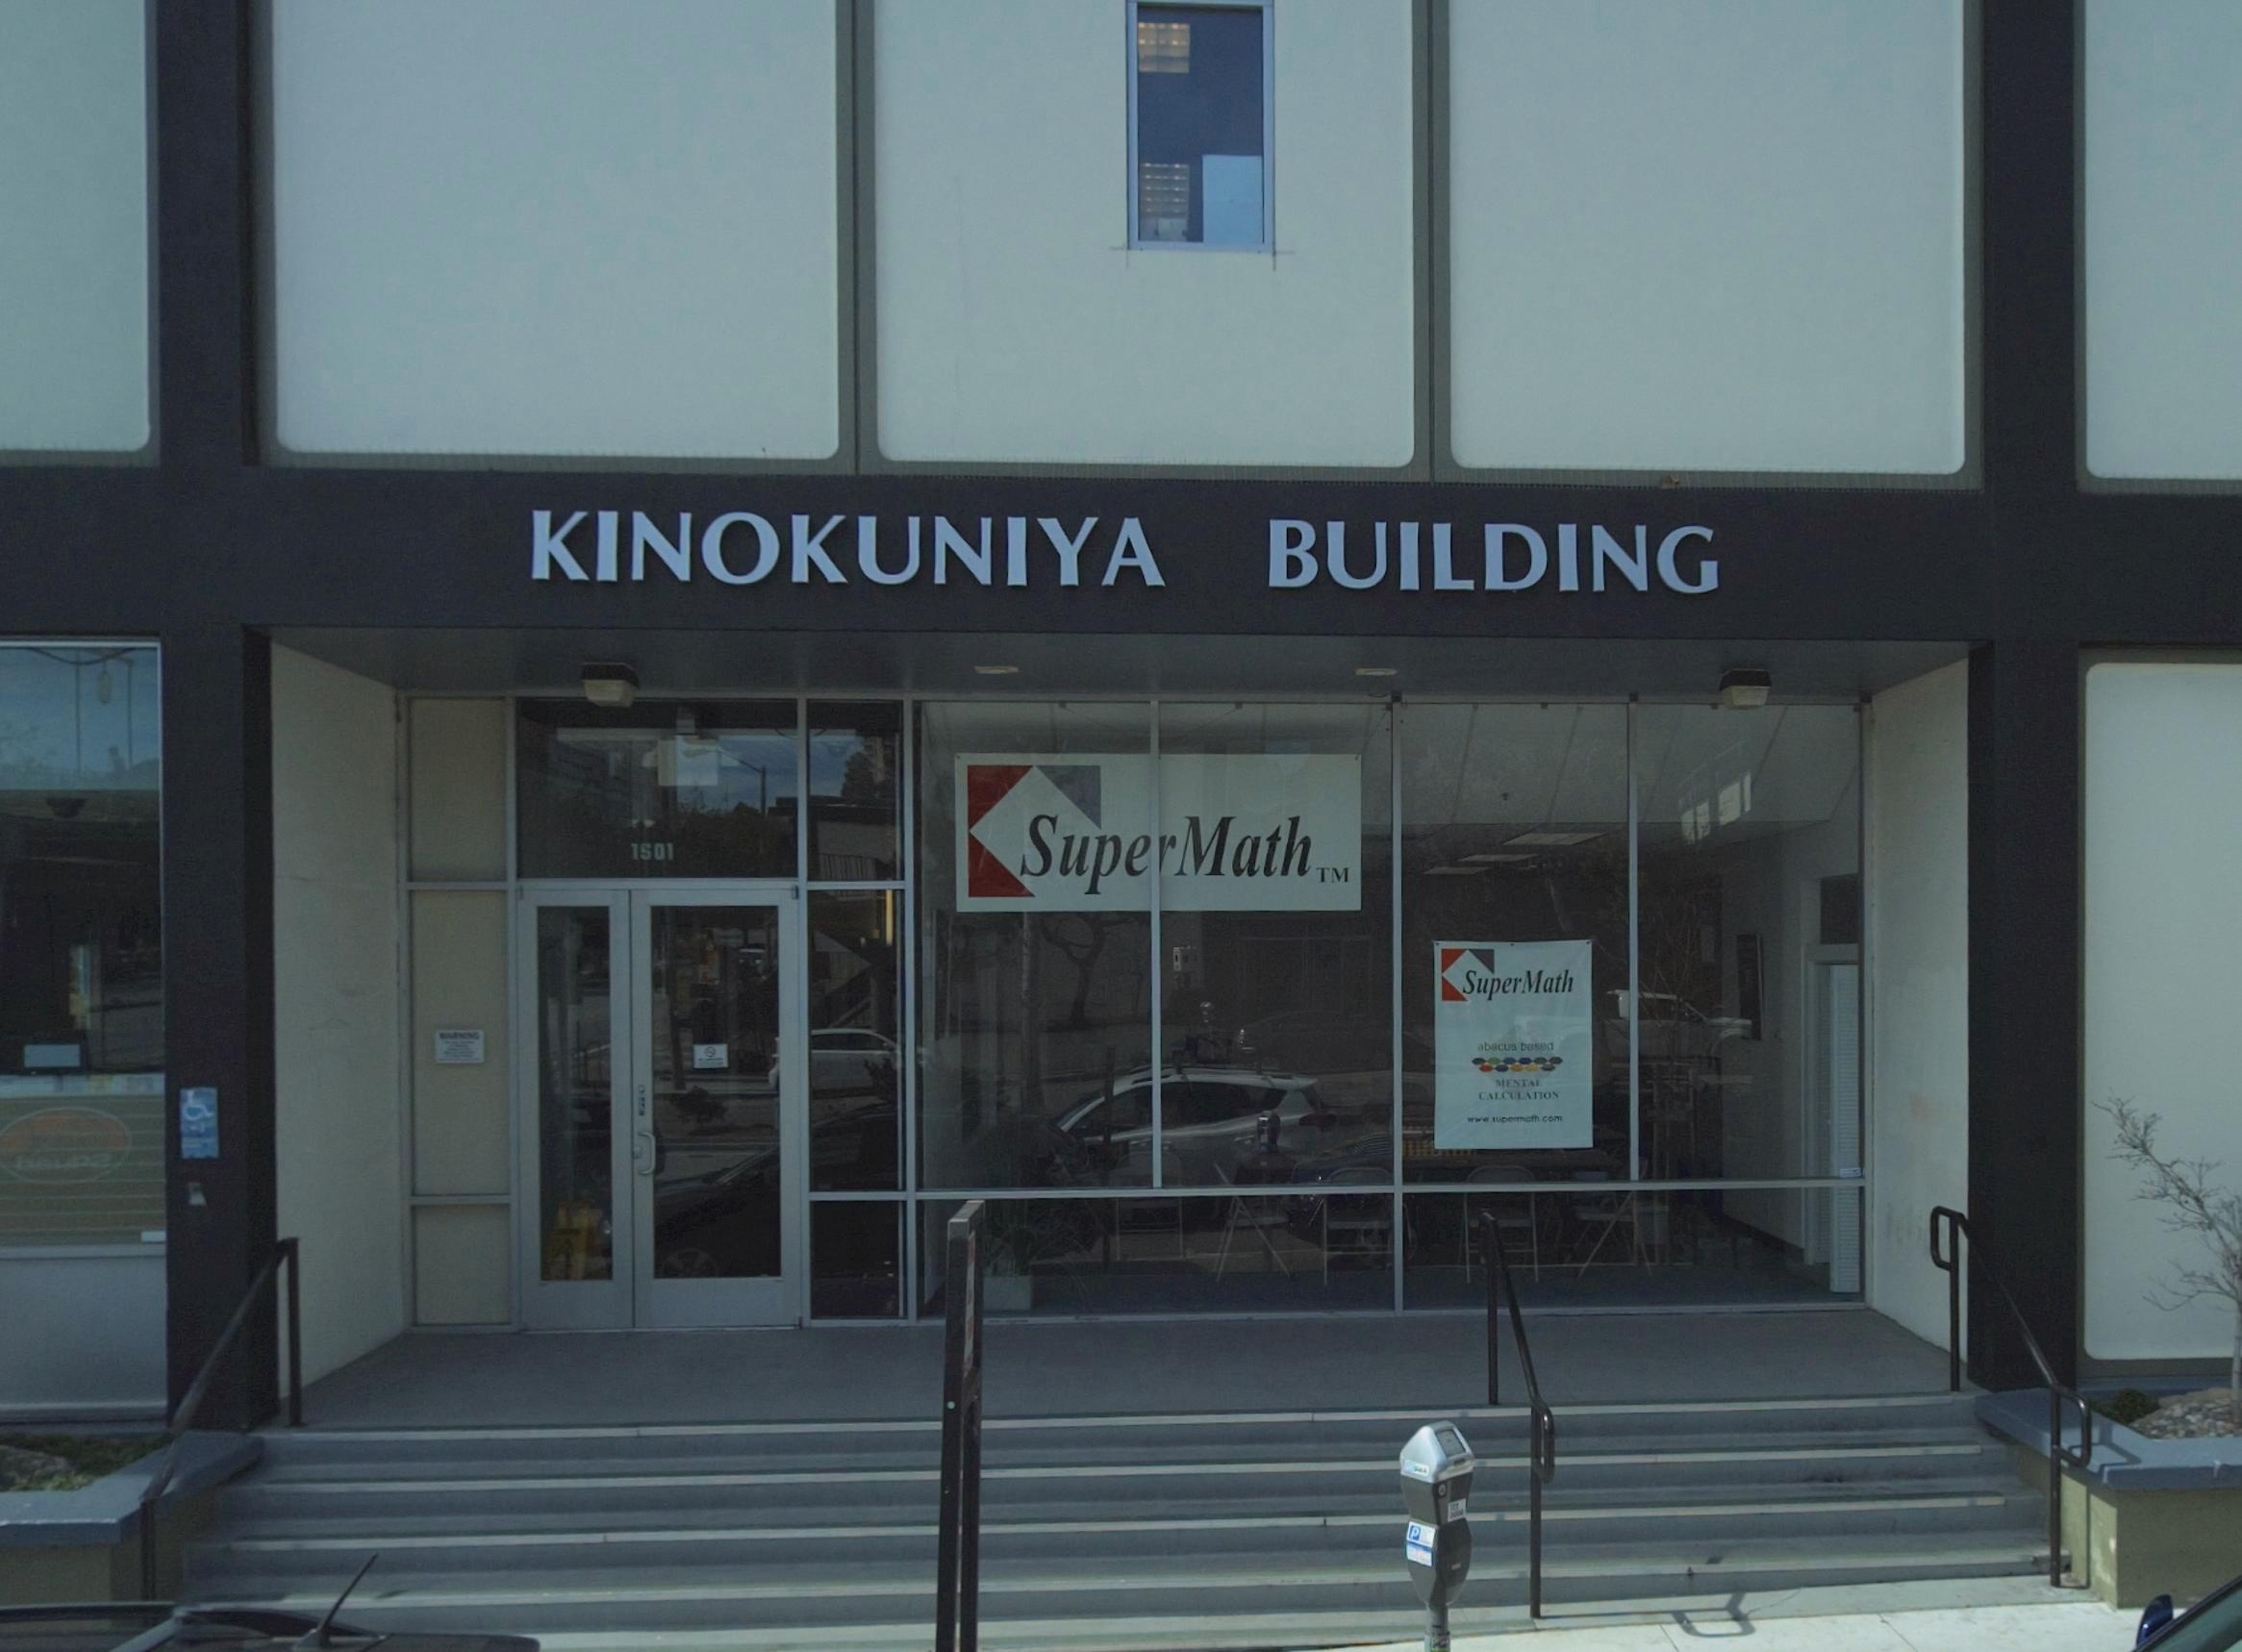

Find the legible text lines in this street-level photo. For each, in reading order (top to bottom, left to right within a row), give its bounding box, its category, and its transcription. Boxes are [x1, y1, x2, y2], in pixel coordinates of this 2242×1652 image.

[528, 506, 1723, 597] BusinessName: KINOKUNIYA BUILDING
[627, 839, 675, 864] StreetNumber: 1501
[1017, 809, 1318, 900] BusinessName: Supe*Math
[1314, 864, 1352, 887] None: TM
[1460, 966, 1576, 1002] BusinessName: Super Math
[1476, 1039, 1556, 1054] None: abacus based
[1493, 1077, 1545, 1089] None: MENTAL
[1476, 1089, 1563, 1103] None: CALCULATION
[1464, 1112, 1564, 1127] None: www.supermath.com